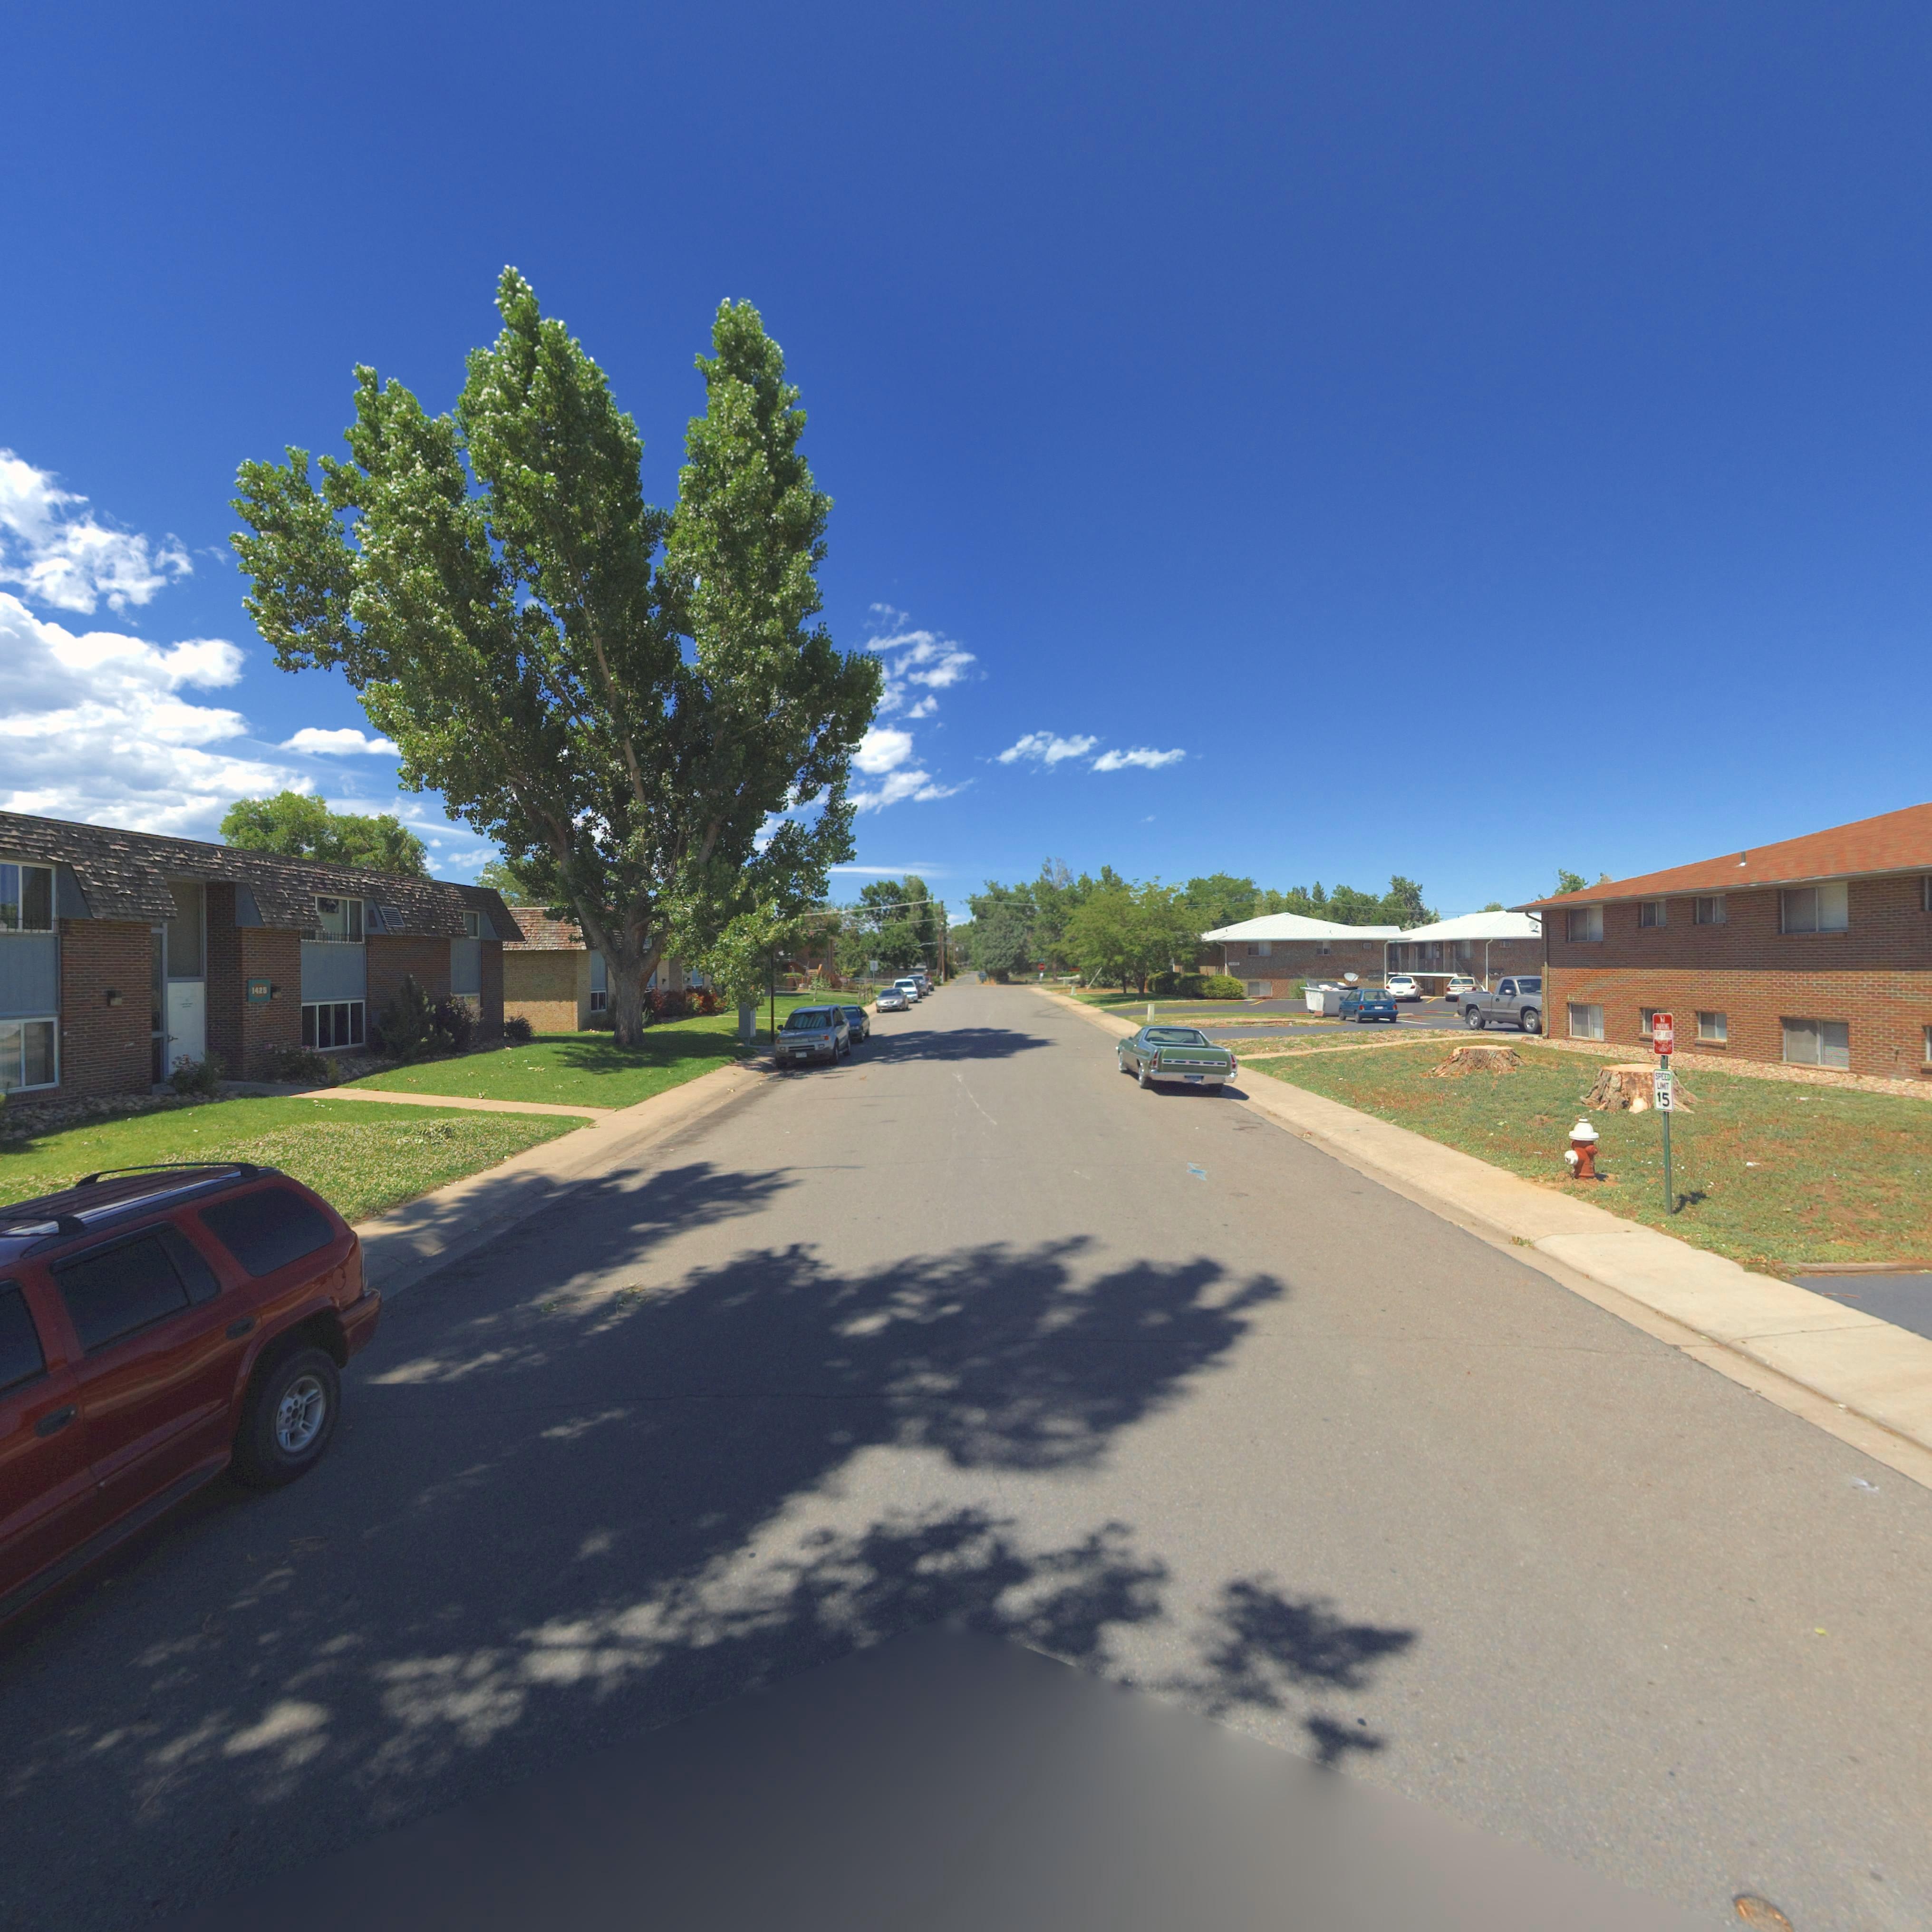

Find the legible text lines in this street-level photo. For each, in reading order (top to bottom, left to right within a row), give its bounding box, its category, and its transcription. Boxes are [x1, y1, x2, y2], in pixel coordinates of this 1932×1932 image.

[251, 986, 267, 995] StreetNumber: 1425